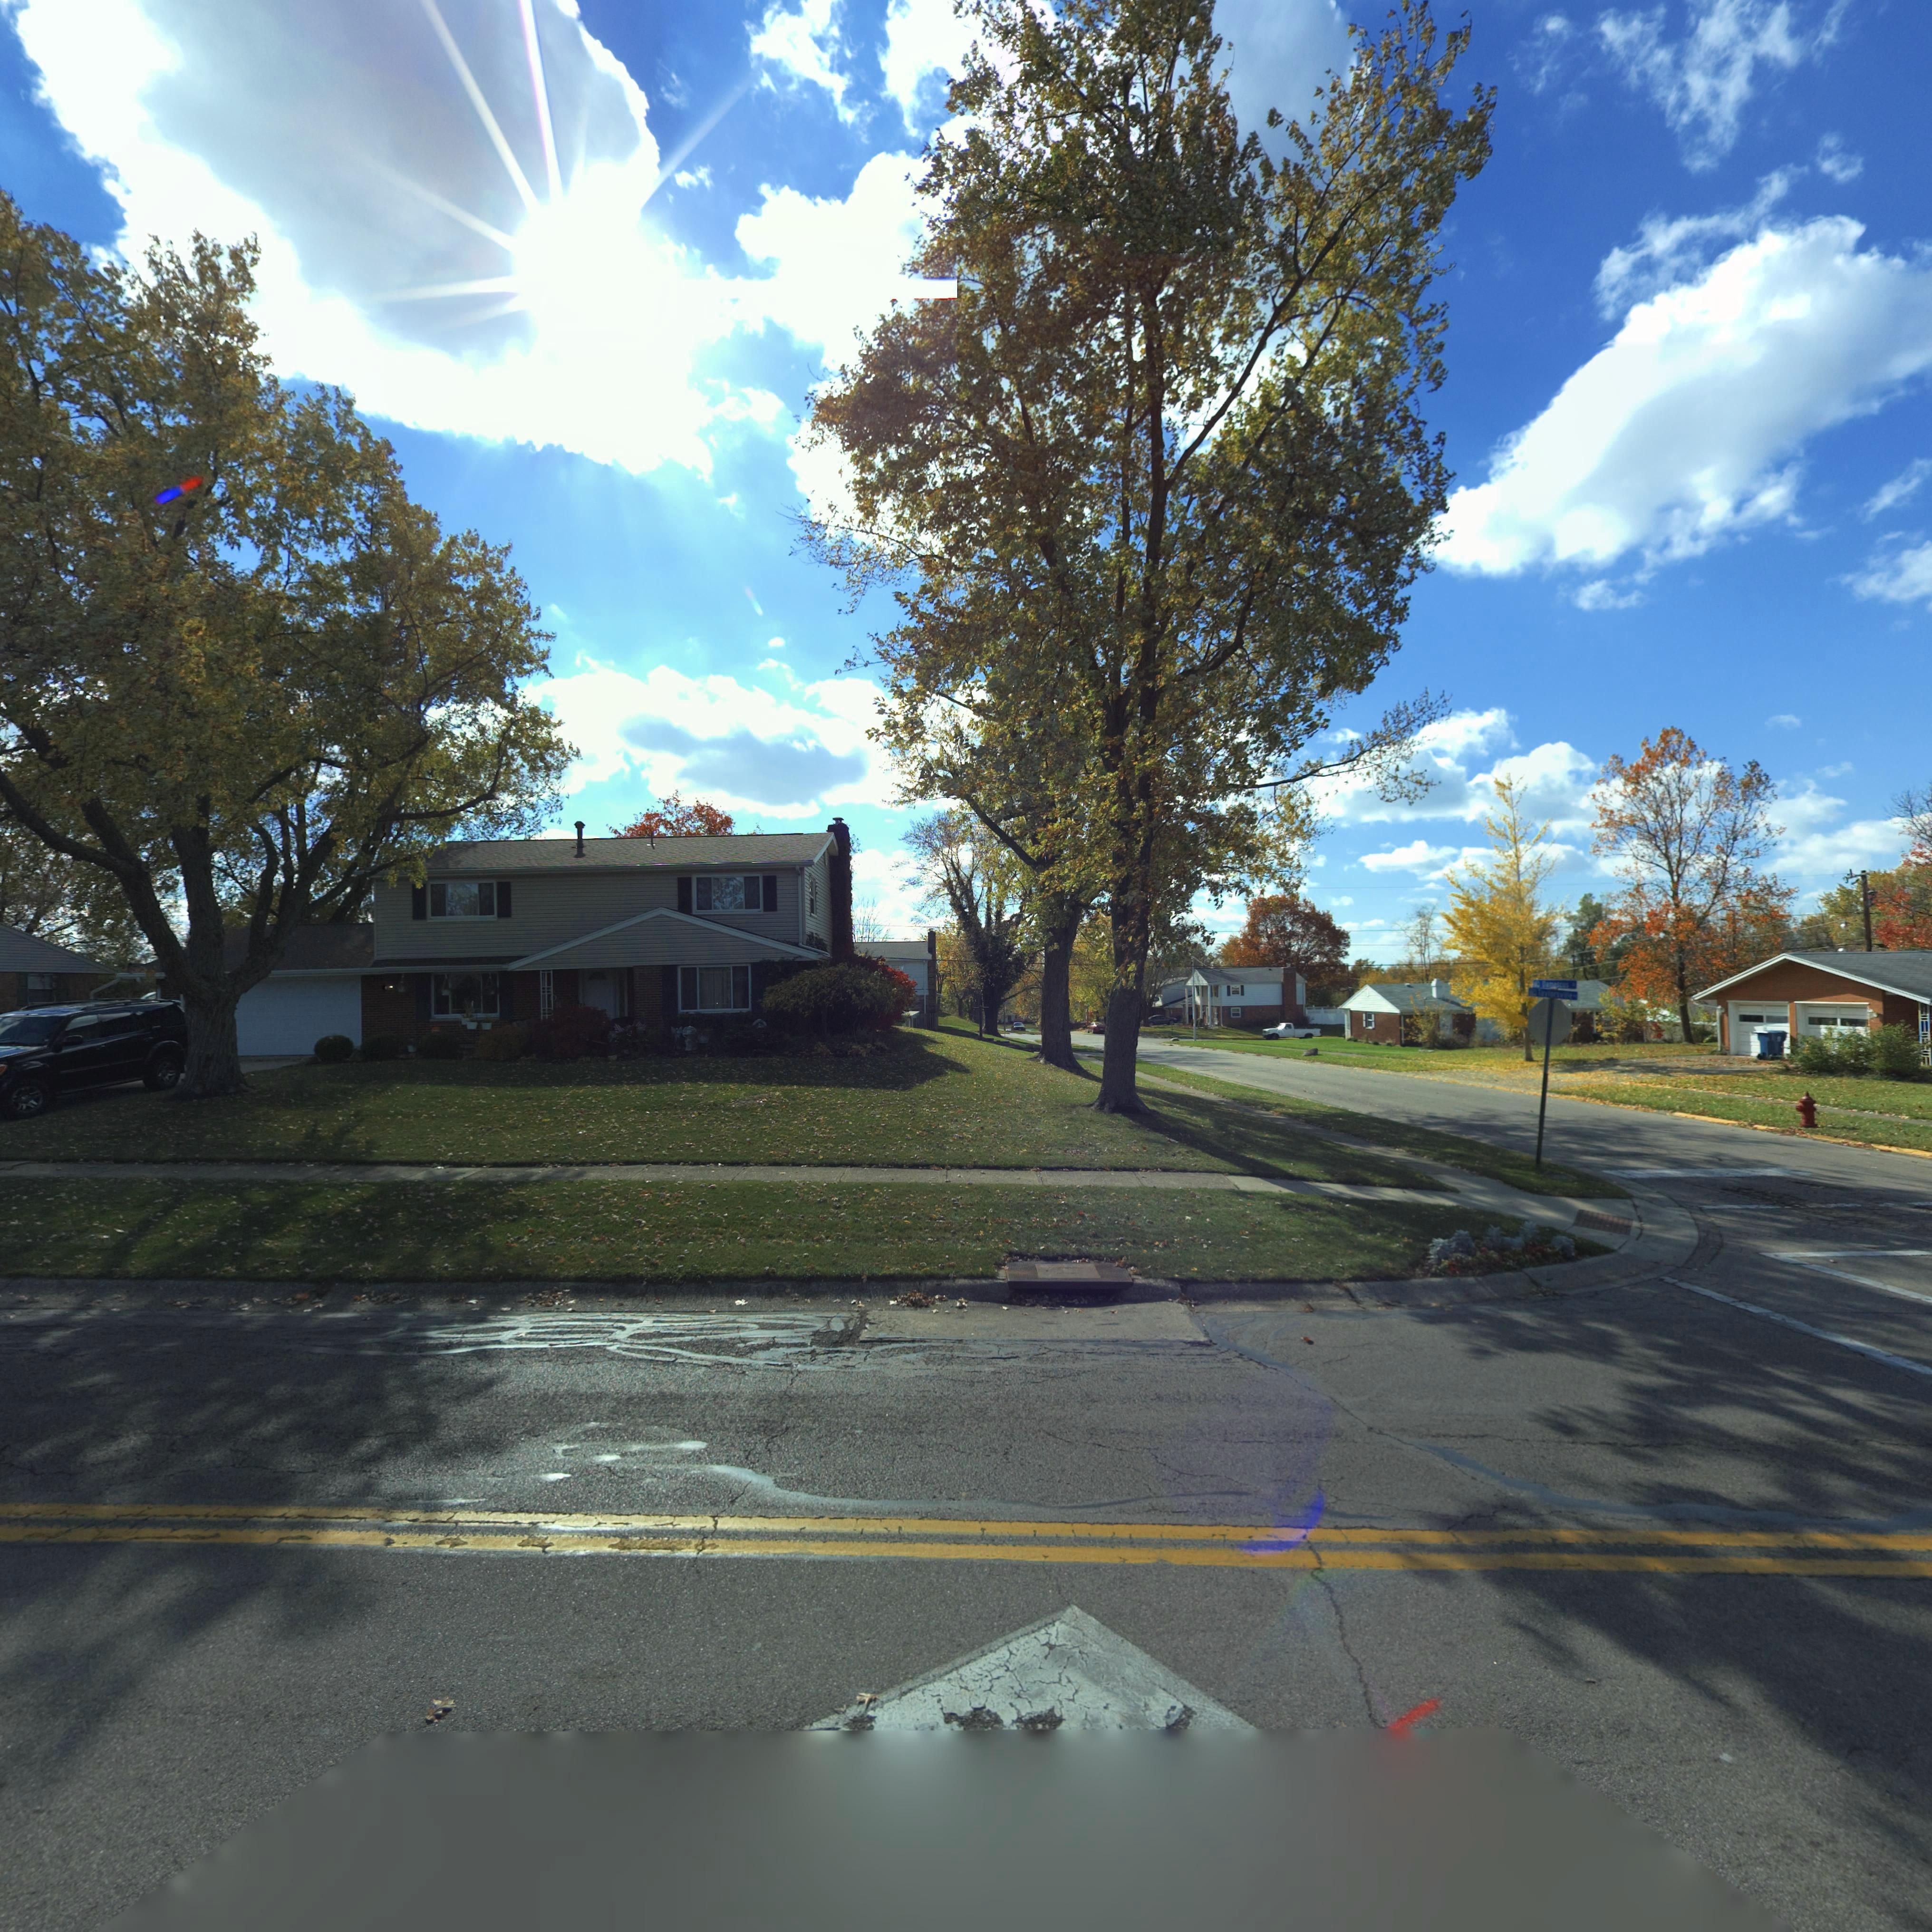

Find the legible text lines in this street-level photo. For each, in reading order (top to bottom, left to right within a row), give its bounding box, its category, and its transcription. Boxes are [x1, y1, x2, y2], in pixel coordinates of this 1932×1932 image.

[555, 1001, 562, 1009] StreetNumber: 8